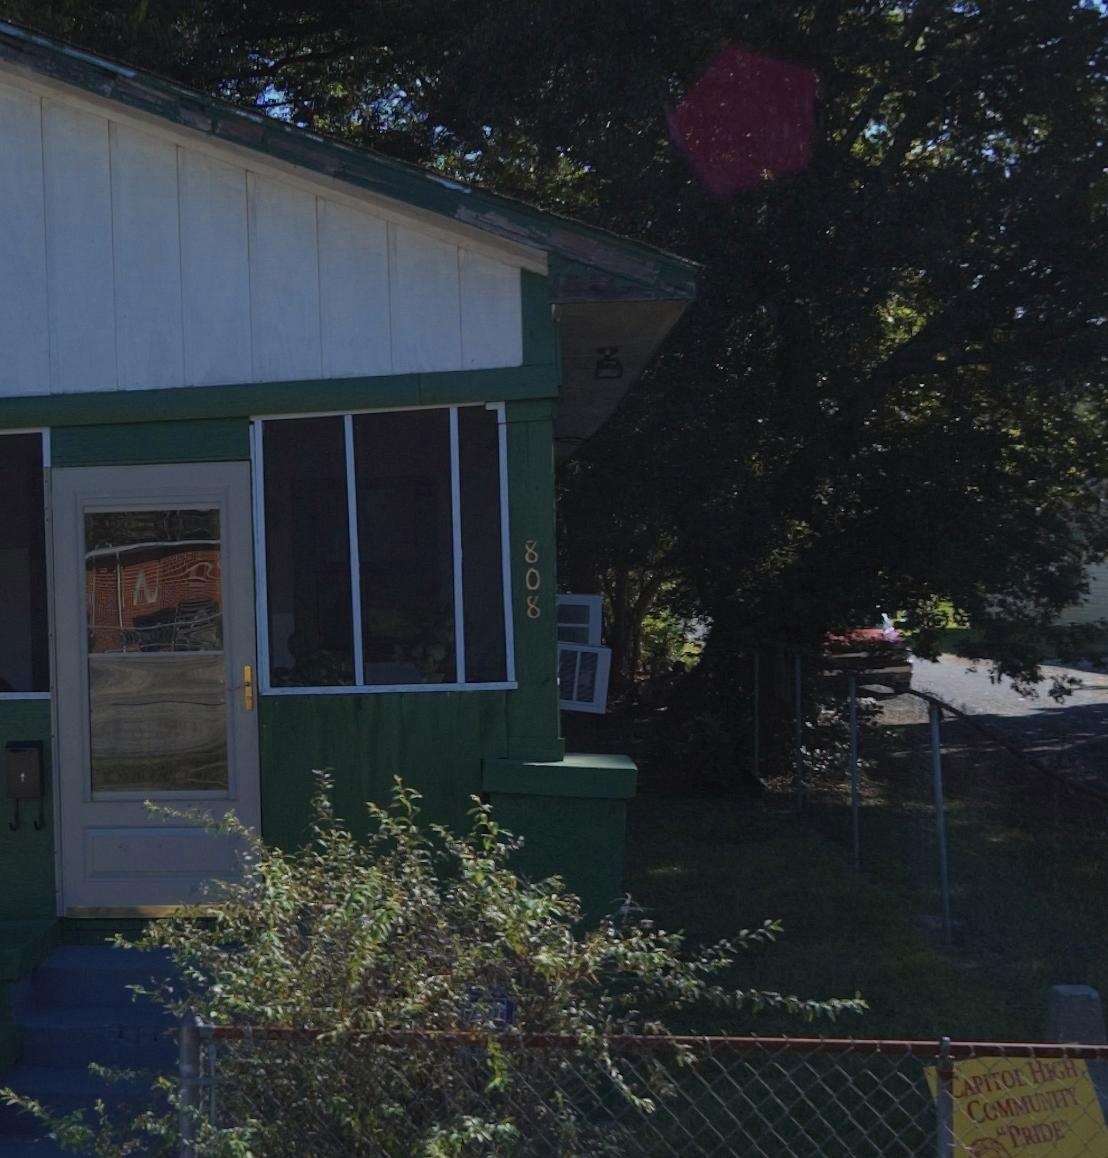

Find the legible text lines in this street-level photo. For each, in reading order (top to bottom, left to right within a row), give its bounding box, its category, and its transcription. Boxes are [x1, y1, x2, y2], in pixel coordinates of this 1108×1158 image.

[522, 538, 543, 622] StreetNumber: 808
[962, 1057, 1081, 1100] None: API*OL HIGH
[963, 1083, 1088, 1127] None: C*MMU*IT*
[1003, 1117, 1069, 1151] None: PRIDE